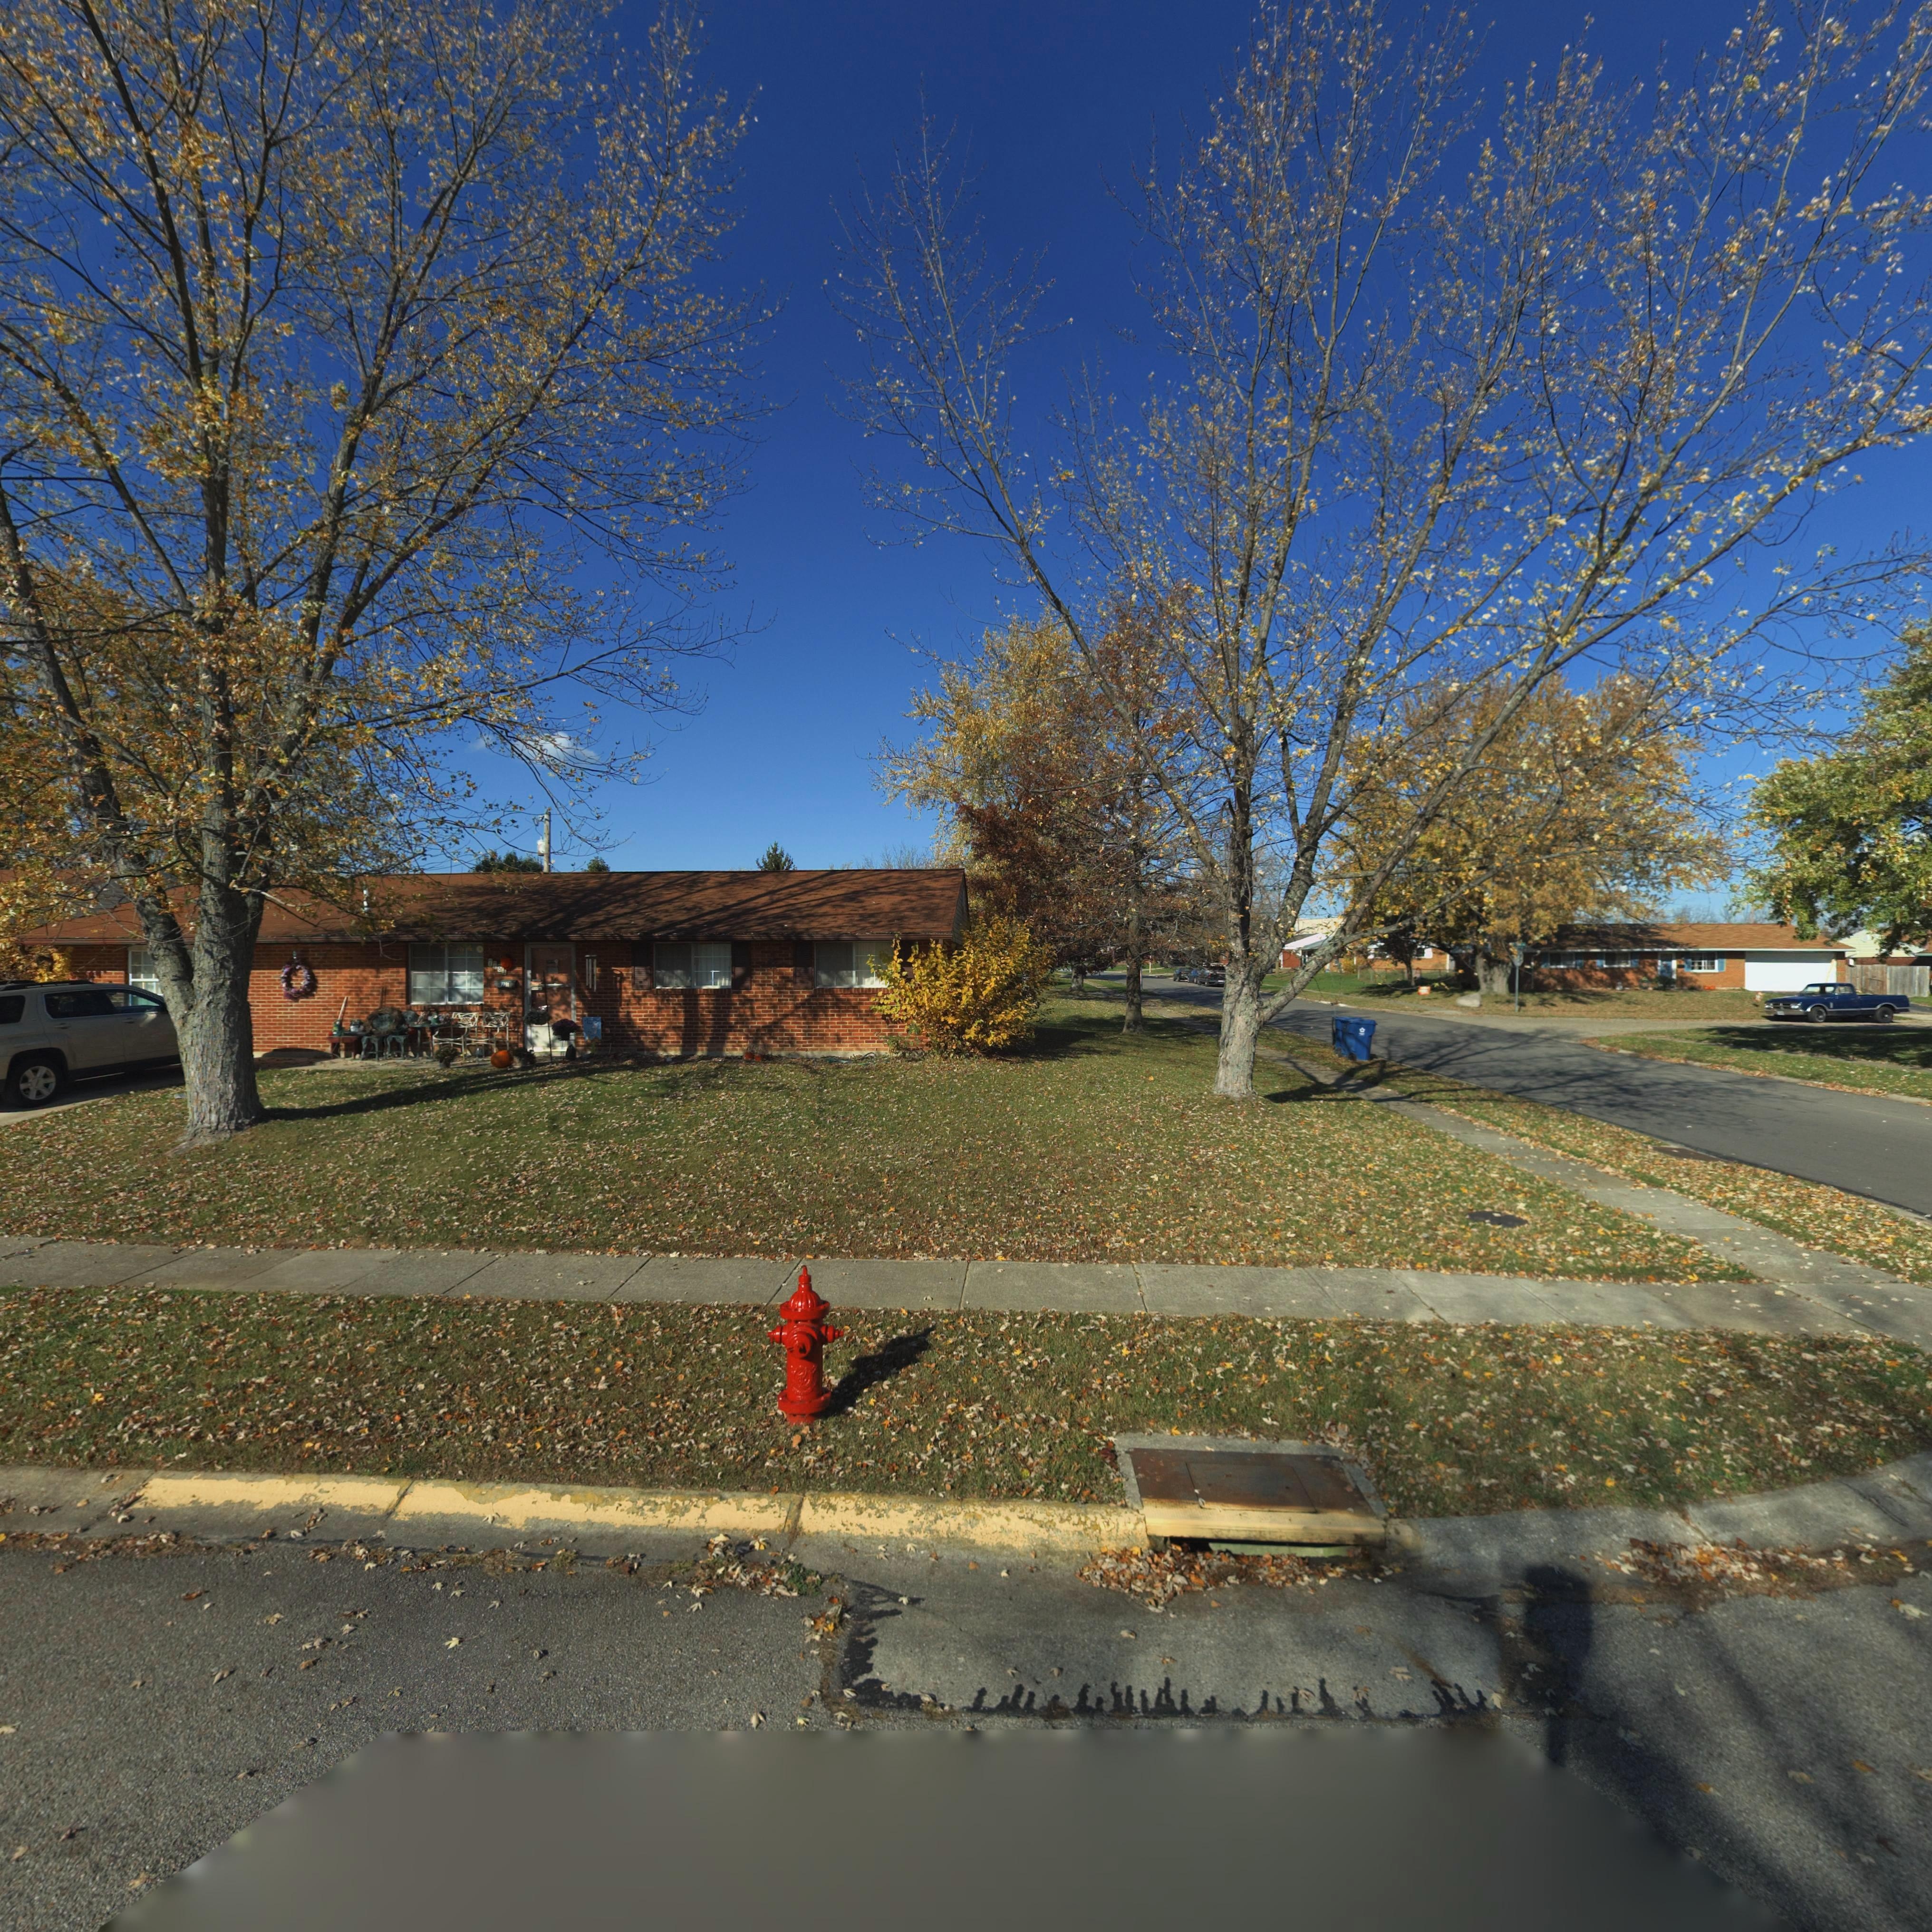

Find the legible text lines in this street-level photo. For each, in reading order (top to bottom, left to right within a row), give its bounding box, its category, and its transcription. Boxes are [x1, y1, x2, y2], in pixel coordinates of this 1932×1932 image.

[487, 958, 507, 975] StreetNumber: 7781